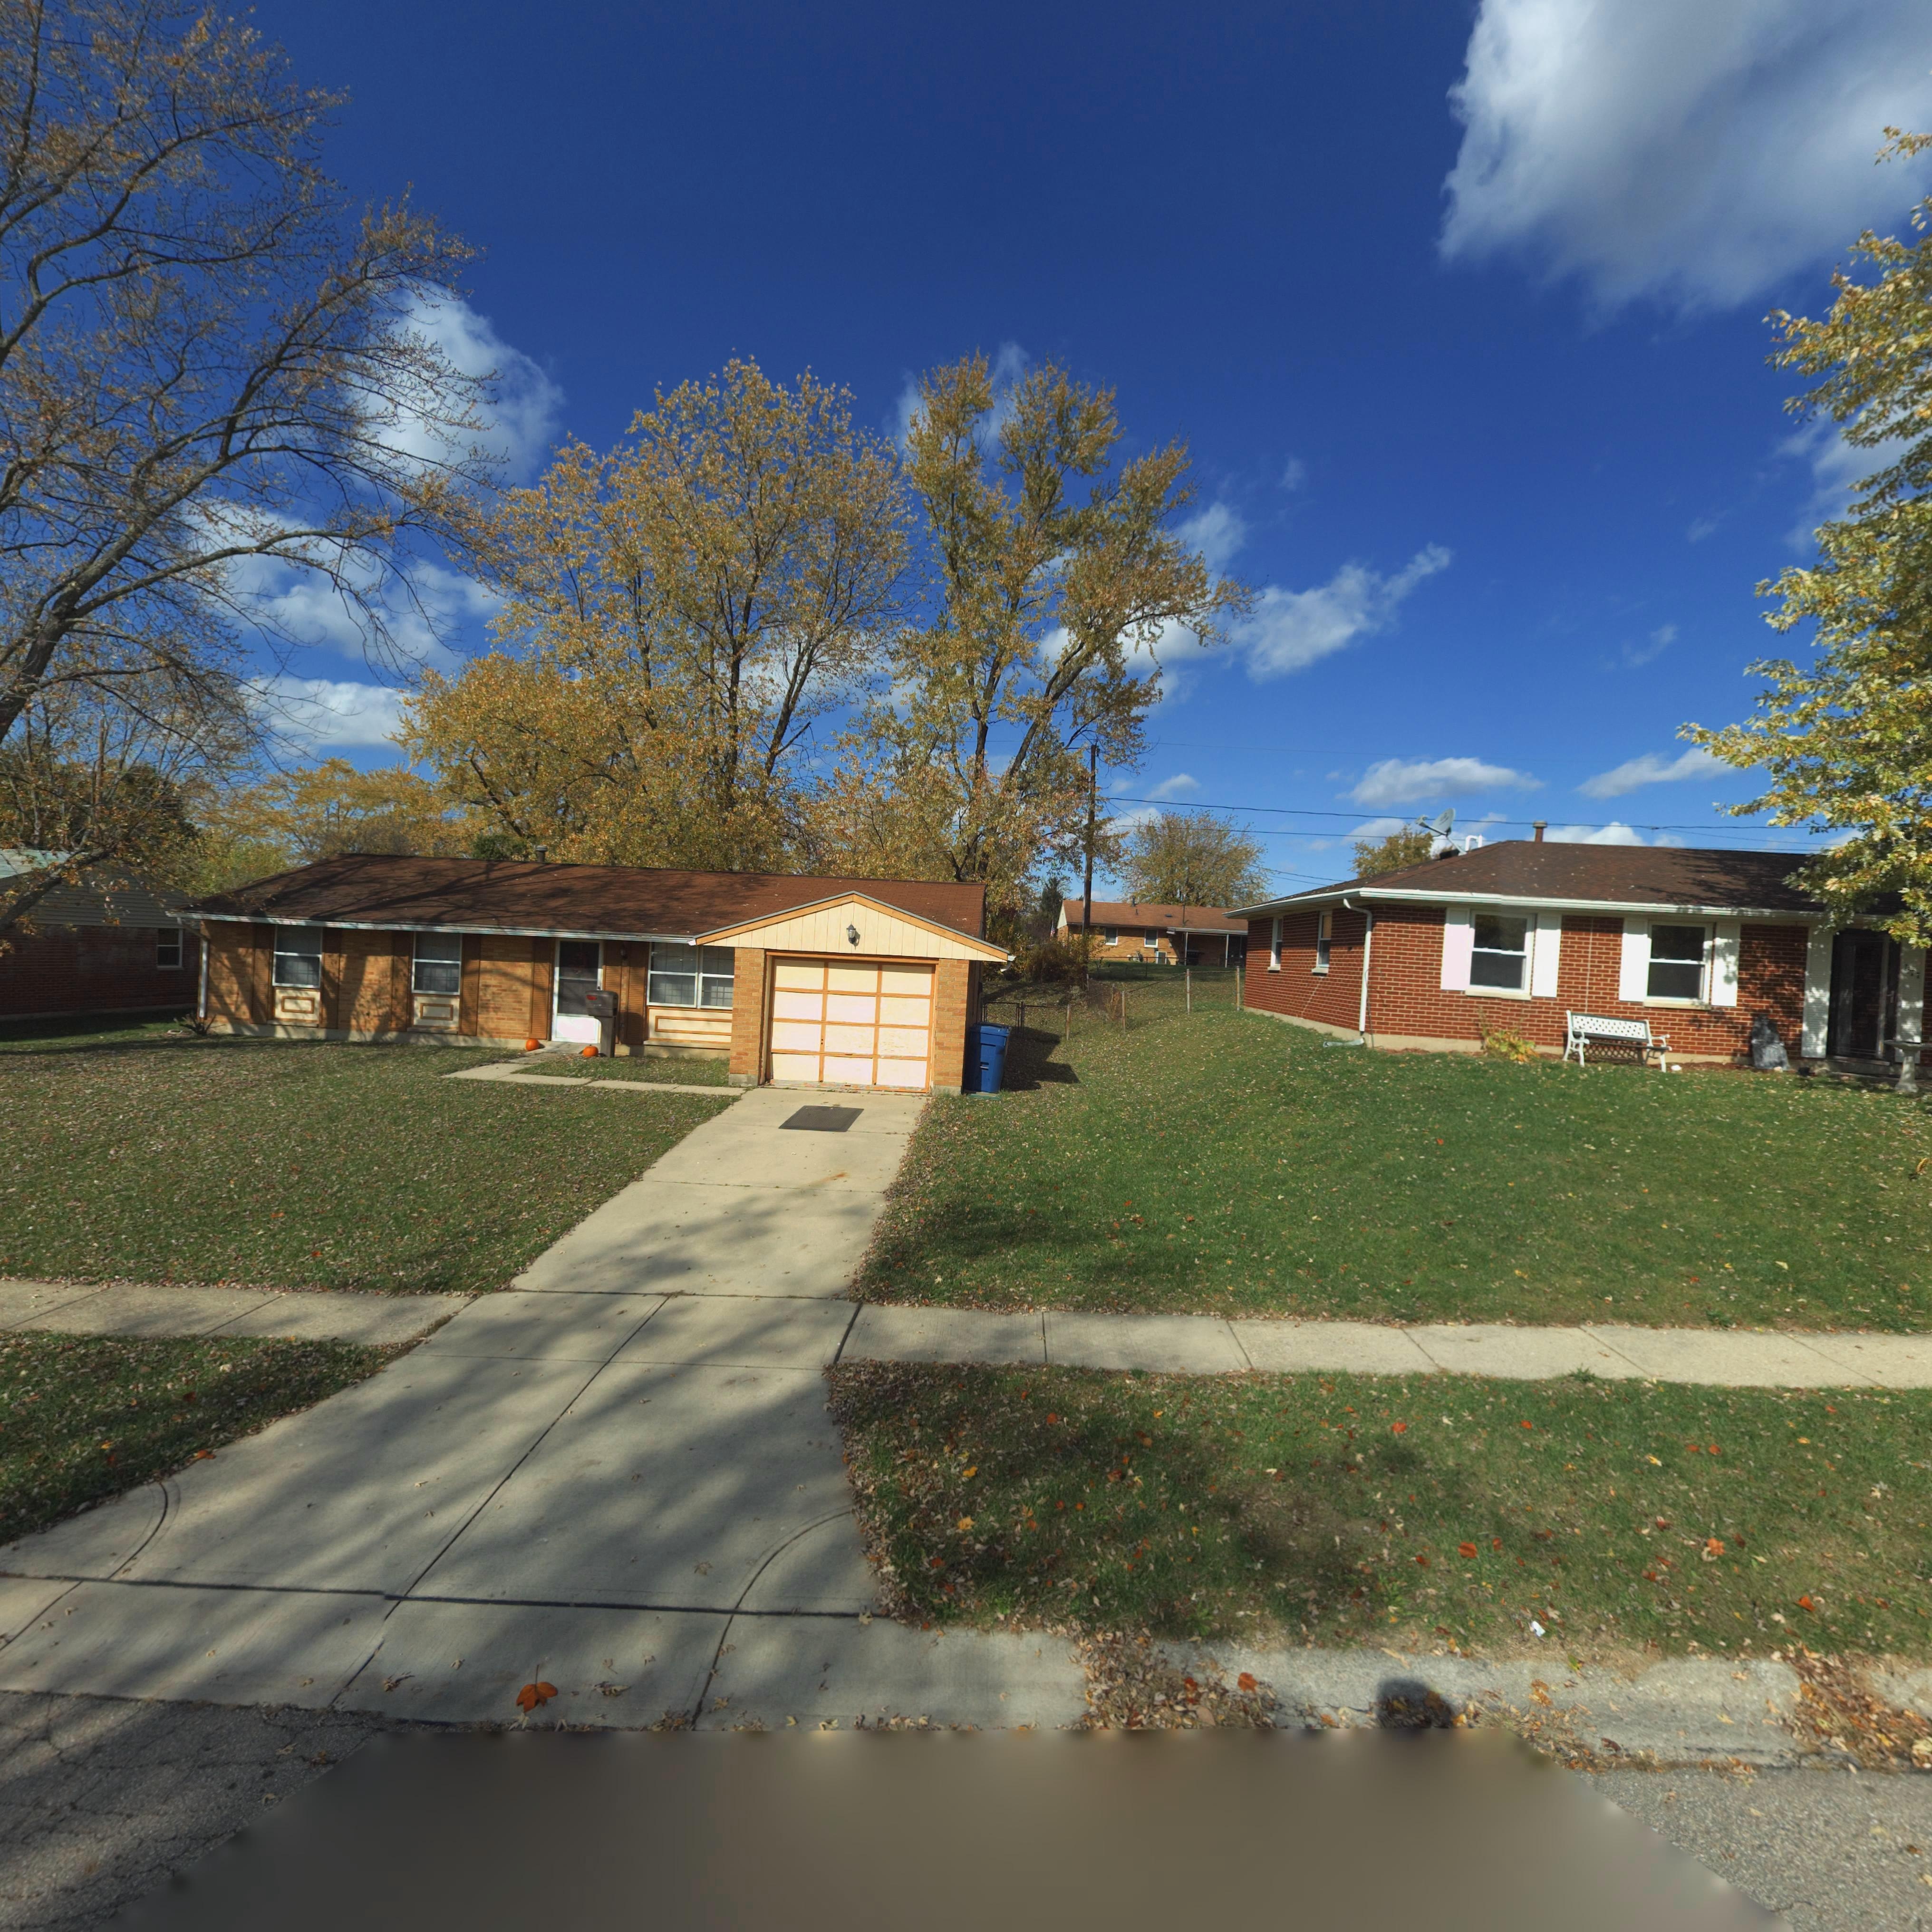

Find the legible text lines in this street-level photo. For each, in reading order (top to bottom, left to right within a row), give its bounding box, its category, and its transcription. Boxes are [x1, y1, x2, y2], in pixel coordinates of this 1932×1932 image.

[1909, 969, 1922, 980] StreetNumber: 77